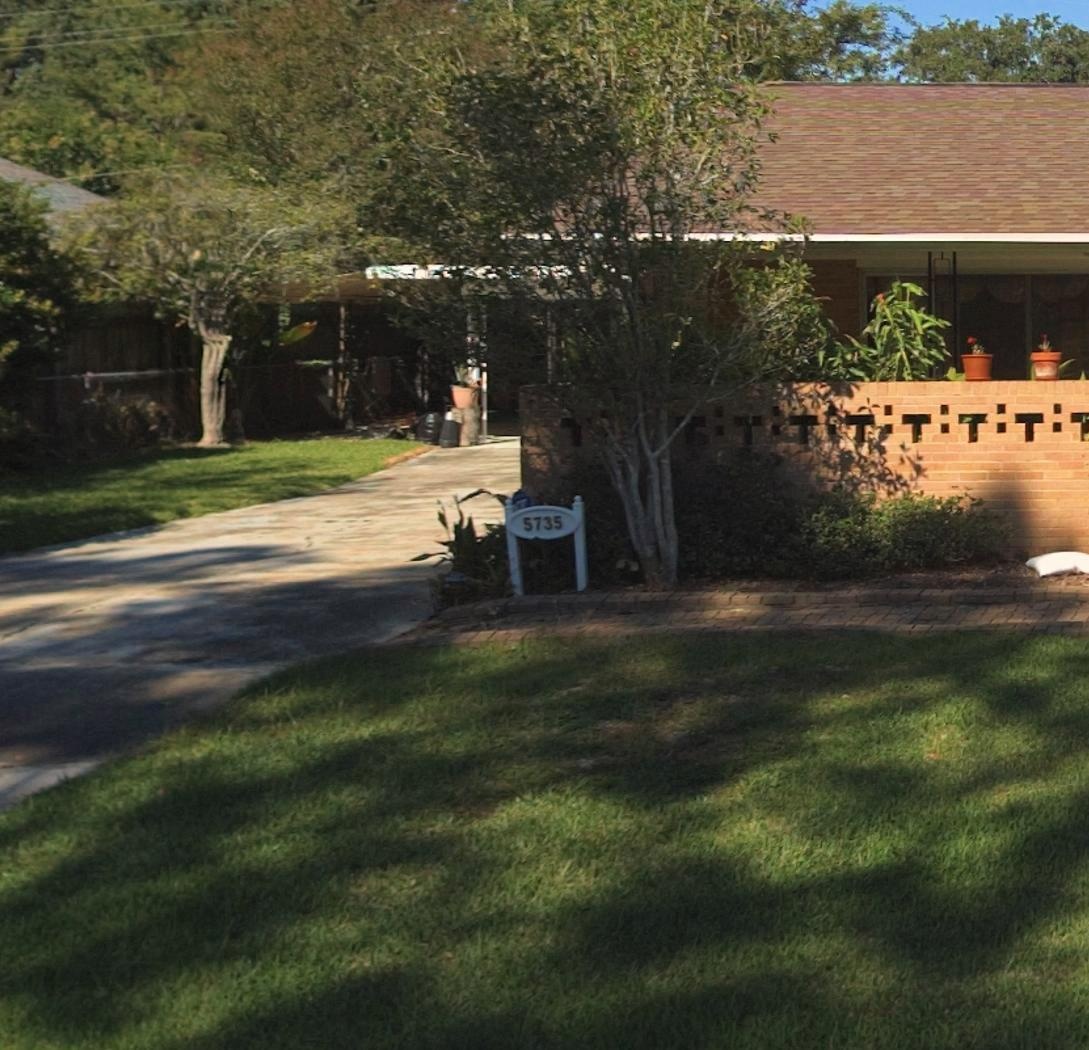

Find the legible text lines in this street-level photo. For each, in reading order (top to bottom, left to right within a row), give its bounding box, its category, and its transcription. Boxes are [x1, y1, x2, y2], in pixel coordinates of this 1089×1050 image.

[520, 513, 565, 534] StreetNumber: 5735